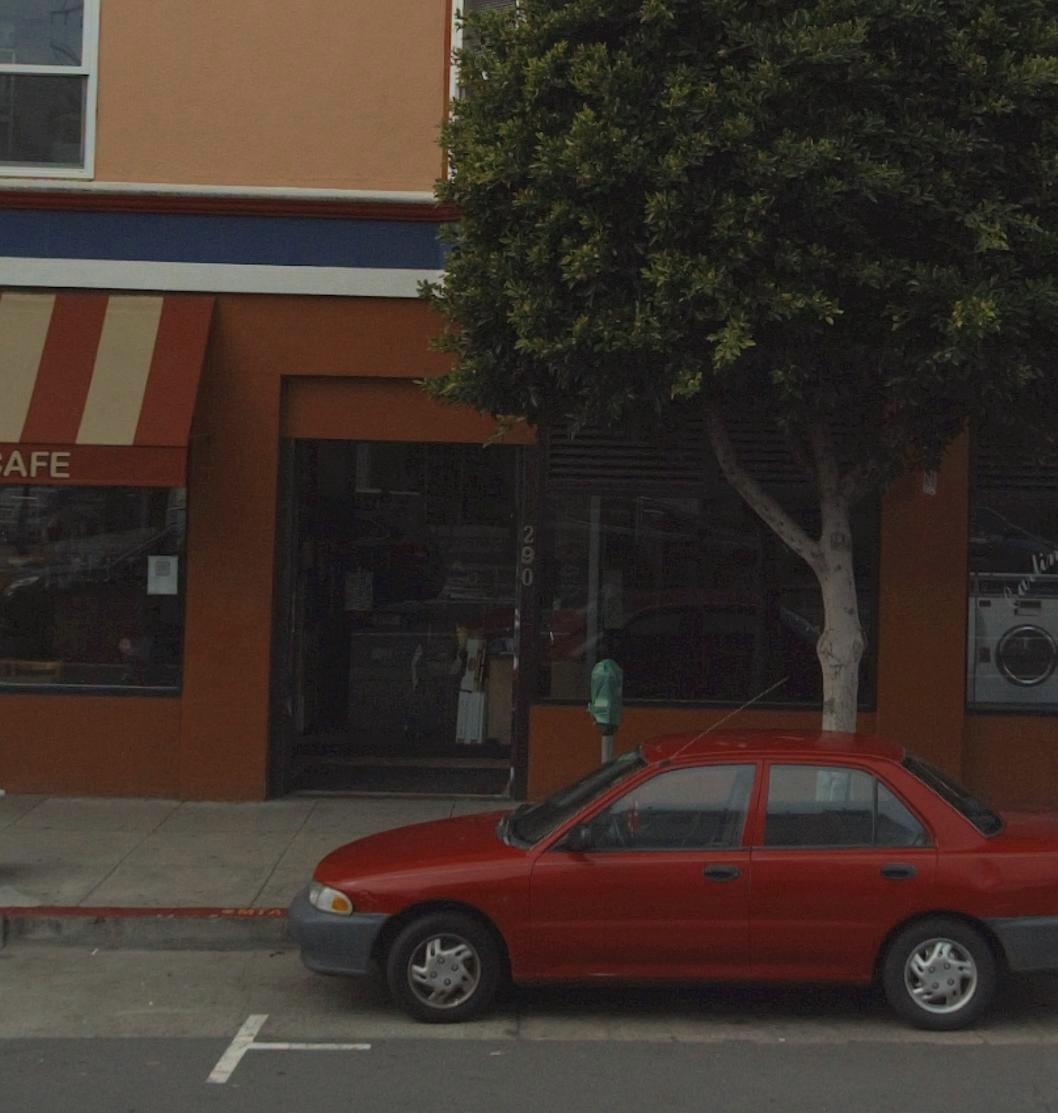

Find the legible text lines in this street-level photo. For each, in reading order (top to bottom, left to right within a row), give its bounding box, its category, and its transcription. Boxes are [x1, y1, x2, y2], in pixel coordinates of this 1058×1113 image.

[0, 447, 75, 481] None: AFE
[518, 522, 538, 588] StreetNumber: 290
[1037, 550, 1049, 573] None: i